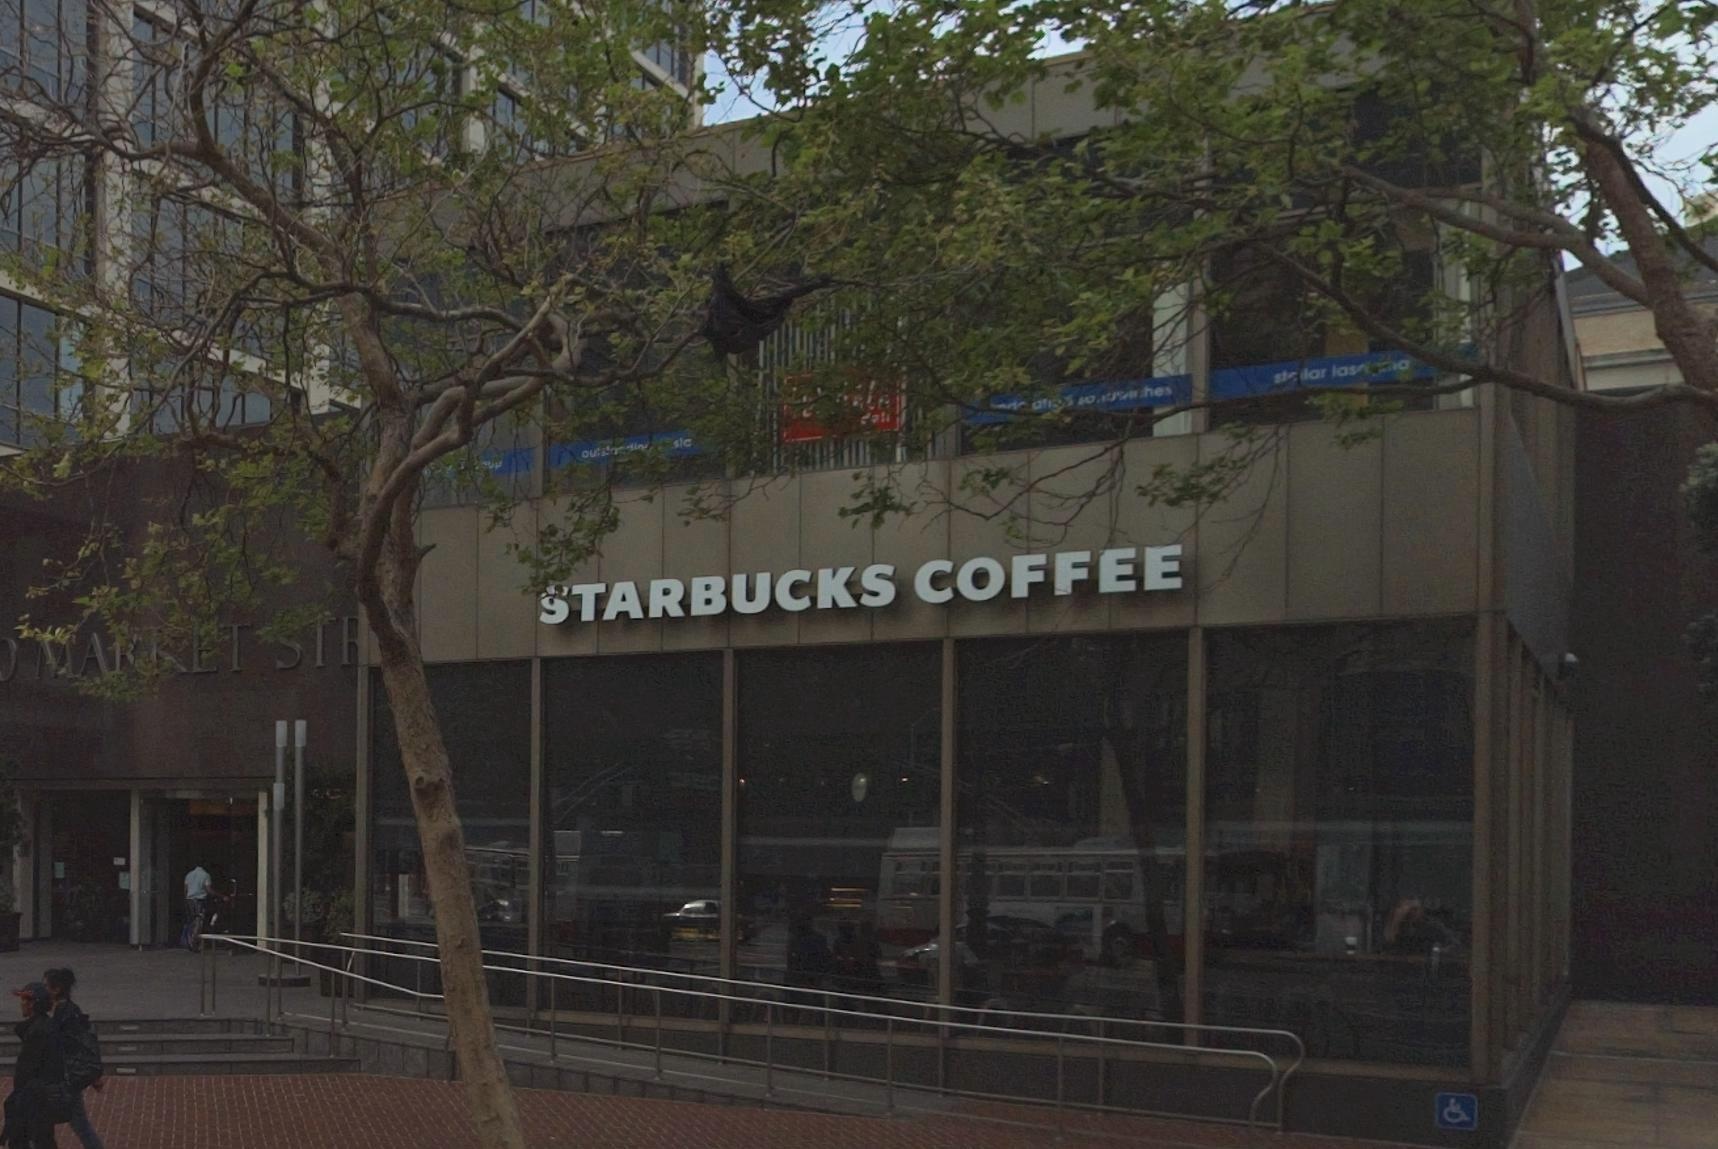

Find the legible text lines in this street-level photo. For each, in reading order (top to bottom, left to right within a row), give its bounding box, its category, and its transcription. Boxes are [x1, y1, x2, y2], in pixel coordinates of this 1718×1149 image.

[1305, 360, 1360, 383] None: or las
[1142, 383, 1167, 400] None: he
[579, 447, 599, 462] None: ou
[676, 435, 695, 450] None: ic
[536, 538, 1188, 629] BusinessName: STARBUCKS COFFEE
[73, 629, 113, 684] StreetName: A
[215, 618, 259, 676] StreetName: T
[702, 771, 722, 796] None: C